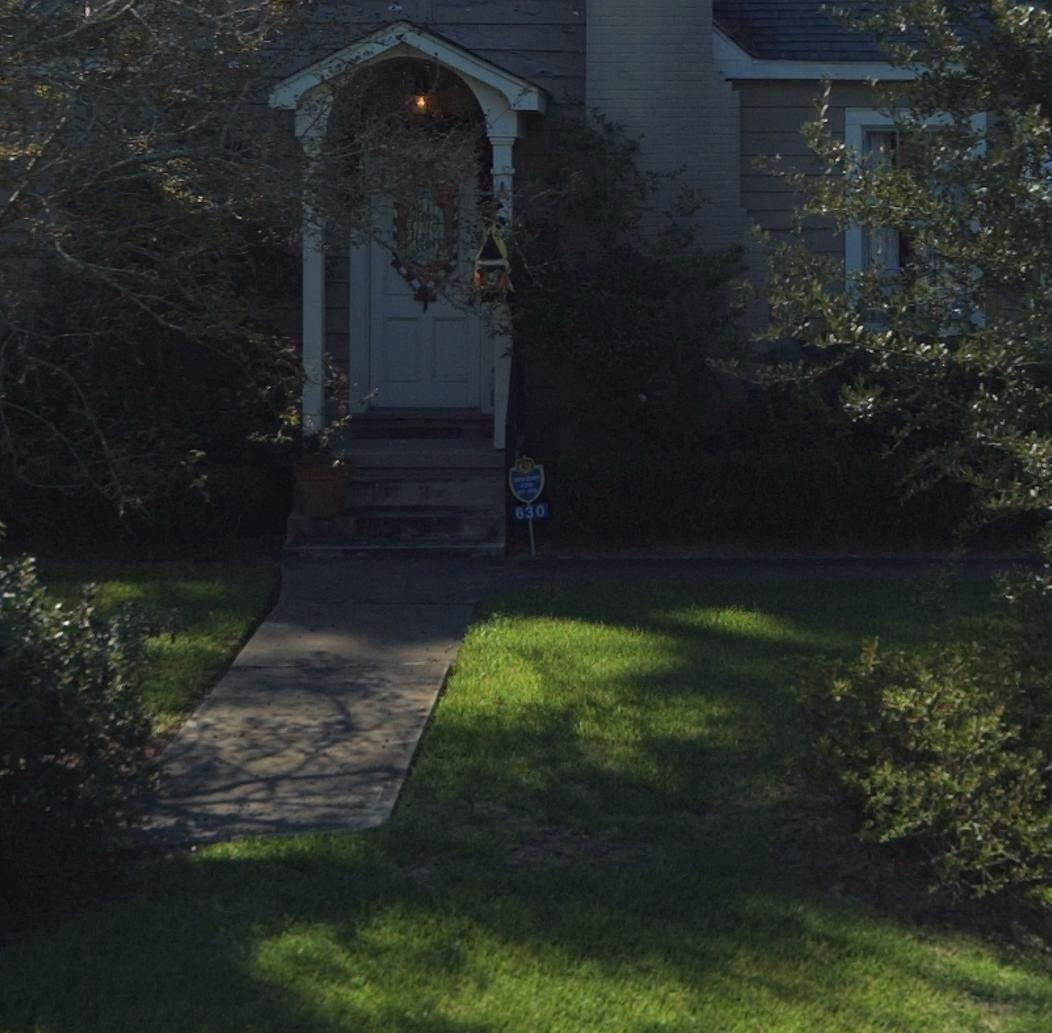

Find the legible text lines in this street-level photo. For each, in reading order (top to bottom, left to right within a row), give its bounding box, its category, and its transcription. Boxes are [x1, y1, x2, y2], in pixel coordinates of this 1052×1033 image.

[514, 505, 546, 520] StreetNumber: 630